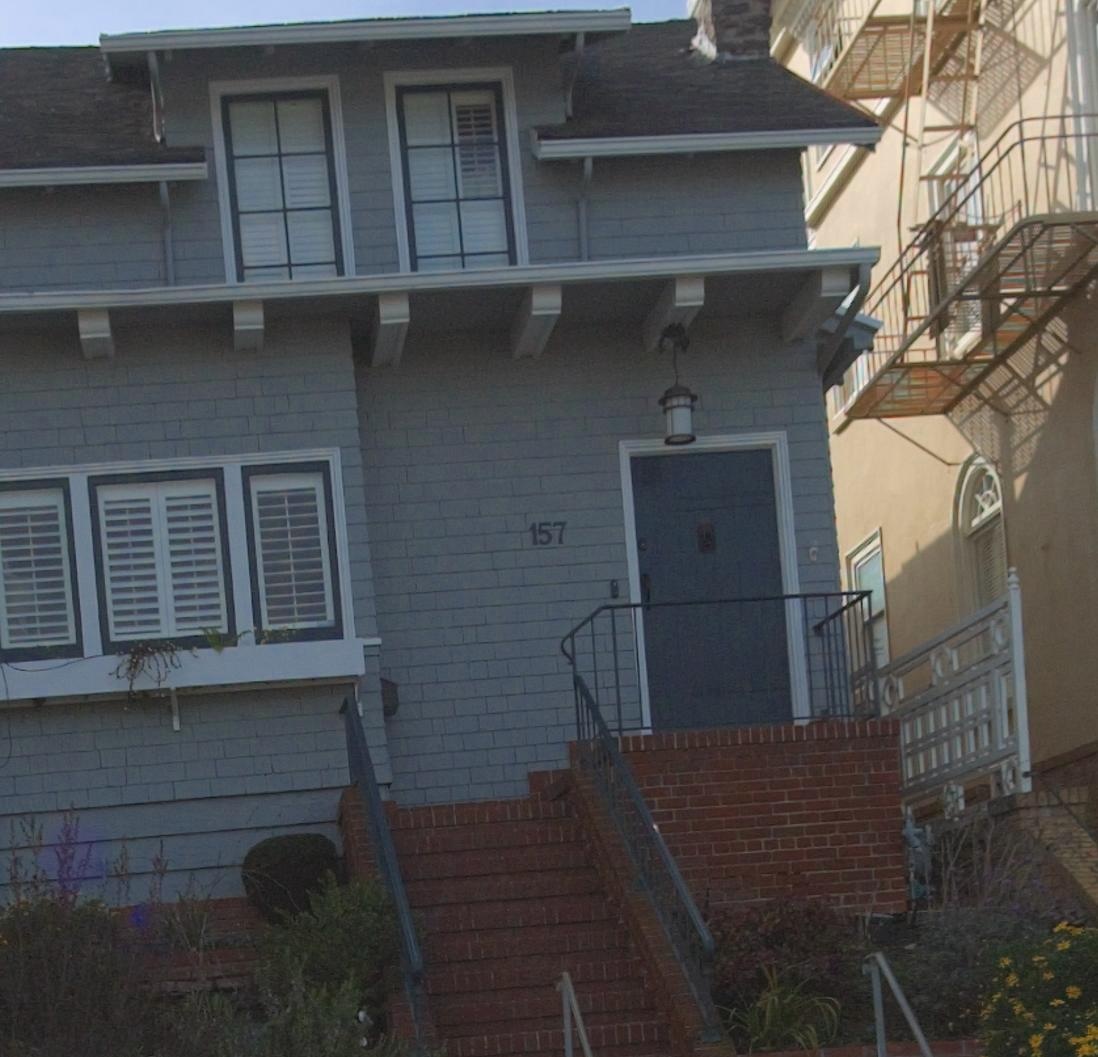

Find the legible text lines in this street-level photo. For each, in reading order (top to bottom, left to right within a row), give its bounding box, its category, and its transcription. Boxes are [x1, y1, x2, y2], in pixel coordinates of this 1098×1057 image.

[526, 520, 569, 547] StreetNumber: 157